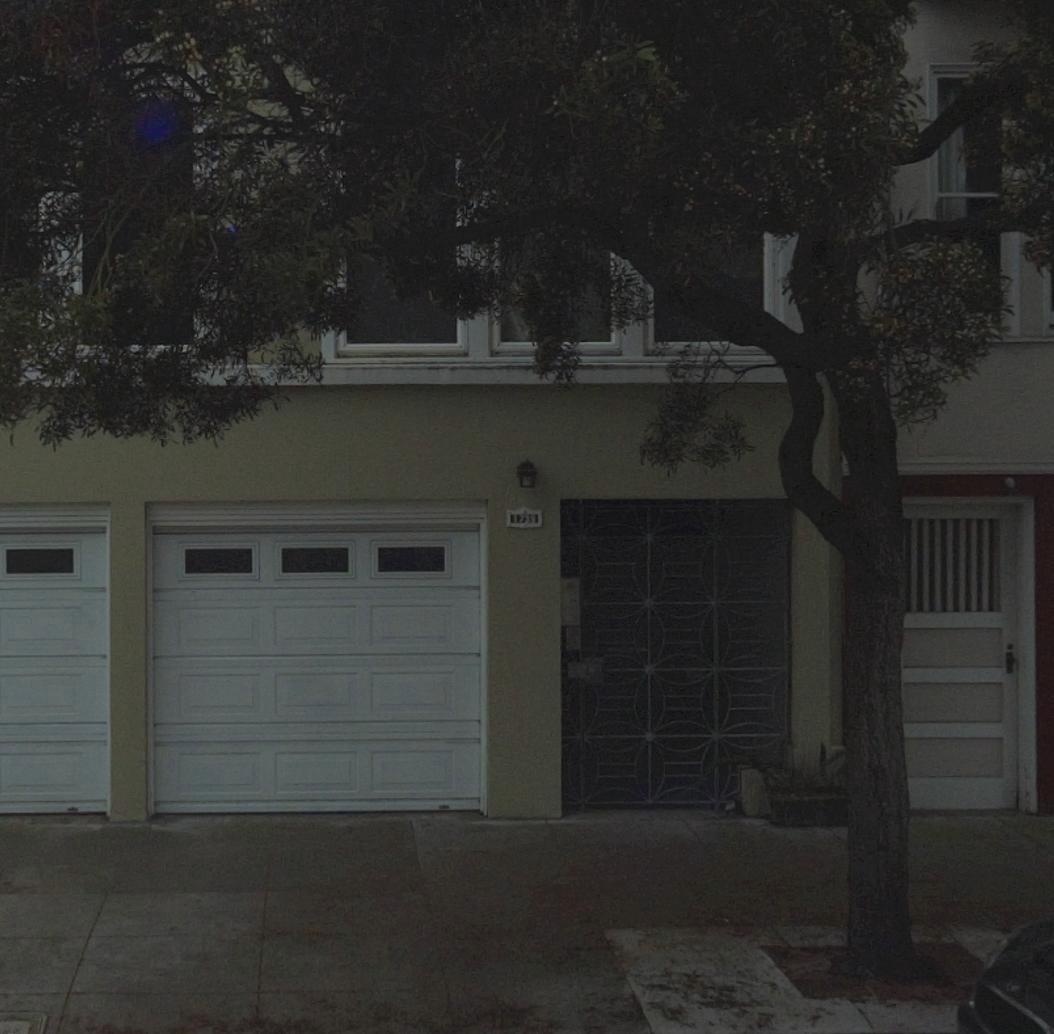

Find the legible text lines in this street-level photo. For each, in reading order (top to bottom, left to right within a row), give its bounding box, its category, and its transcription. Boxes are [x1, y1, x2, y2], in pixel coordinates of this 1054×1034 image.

[512, 514, 537, 524] StreetNumber: 1739